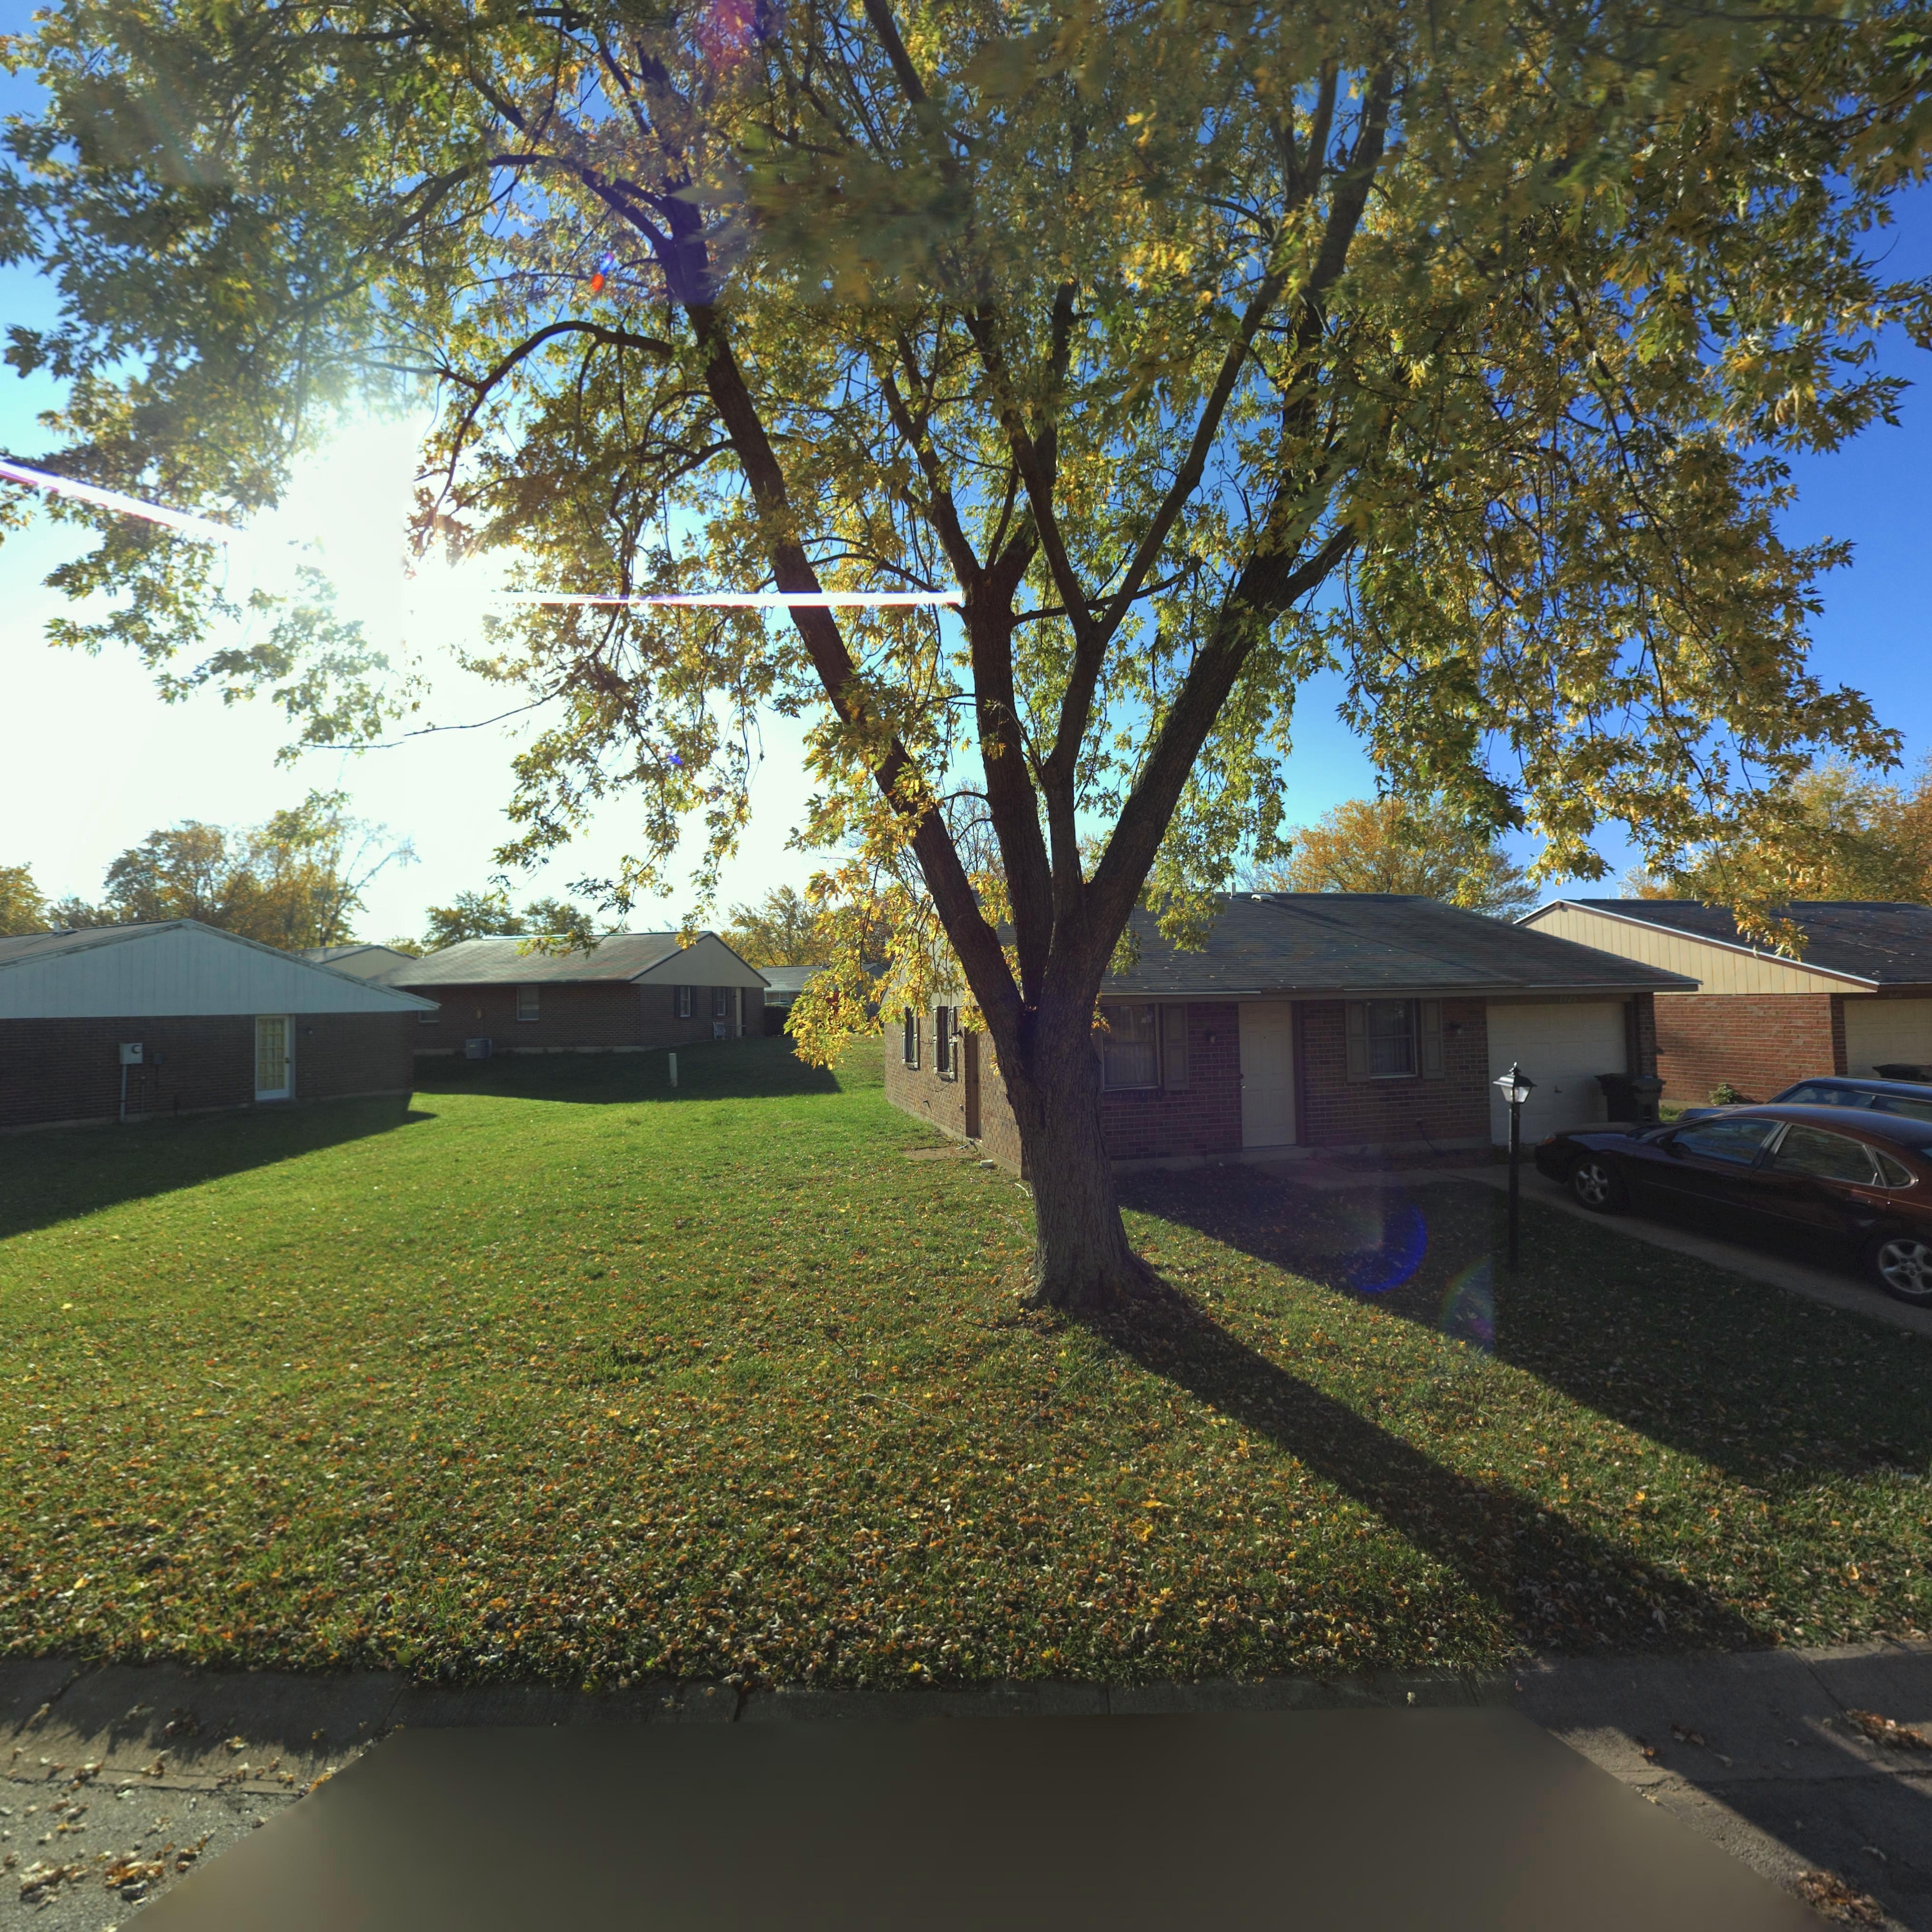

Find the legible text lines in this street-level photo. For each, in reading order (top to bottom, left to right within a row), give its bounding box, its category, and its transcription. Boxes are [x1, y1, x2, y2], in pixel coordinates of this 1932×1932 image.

[1558, 995, 1578, 1003] StreetNumber: 818*
[1887, 992, 1903, 998] StreetNumber: 8***